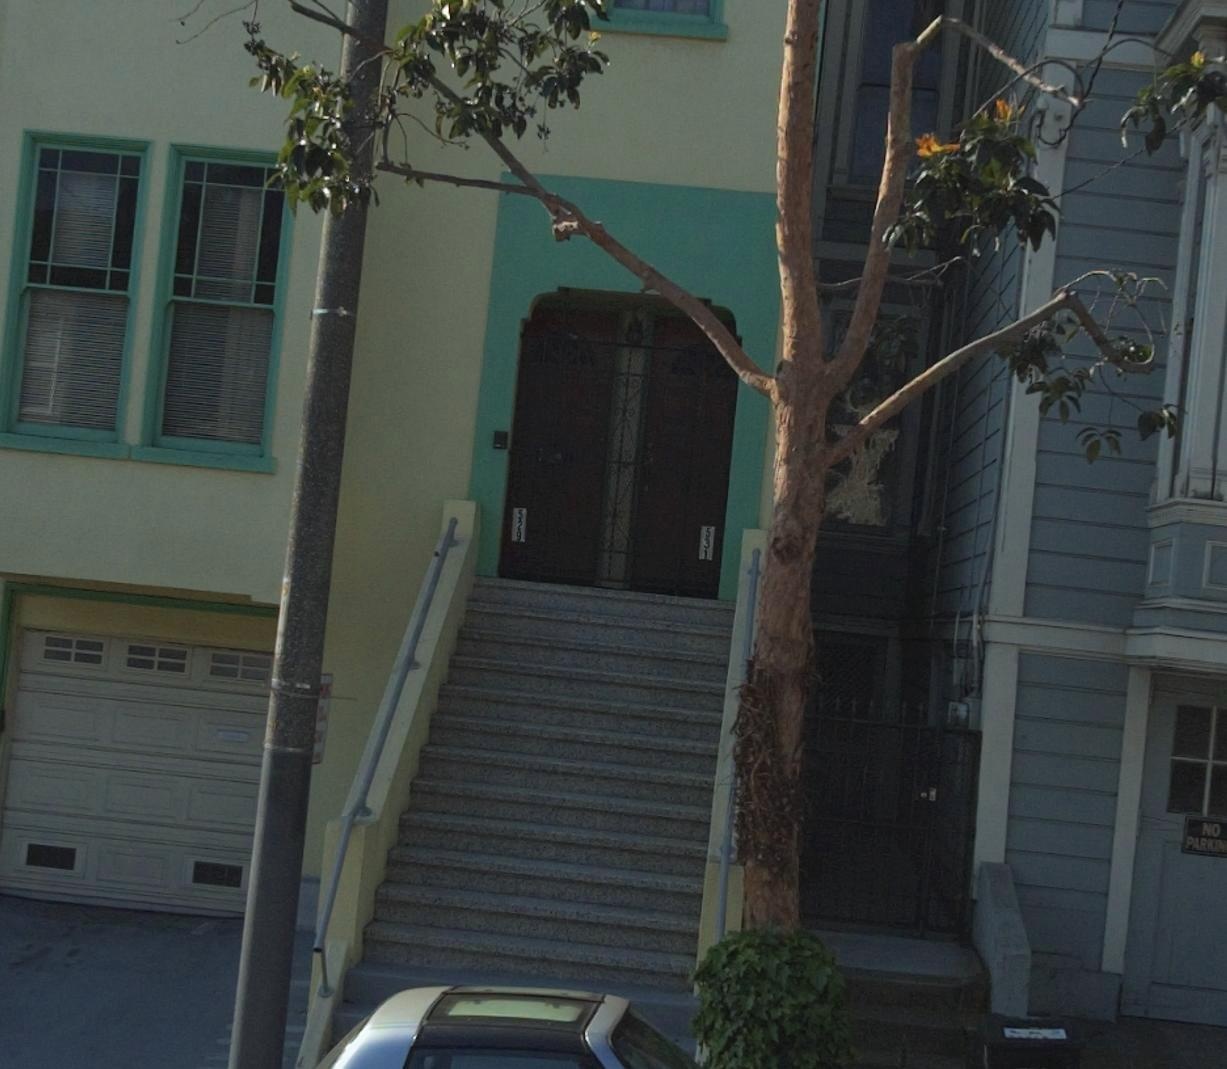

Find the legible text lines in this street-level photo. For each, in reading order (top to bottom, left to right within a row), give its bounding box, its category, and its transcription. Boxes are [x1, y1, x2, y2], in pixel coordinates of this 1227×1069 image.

[514, 507, 526, 542] StreetNumber: 529
[702, 526, 714, 560] StreetNumber: 531
[1185, 833, 1226, 856] None: PARKIN
[1201, 821, 1222, 839] None: NO